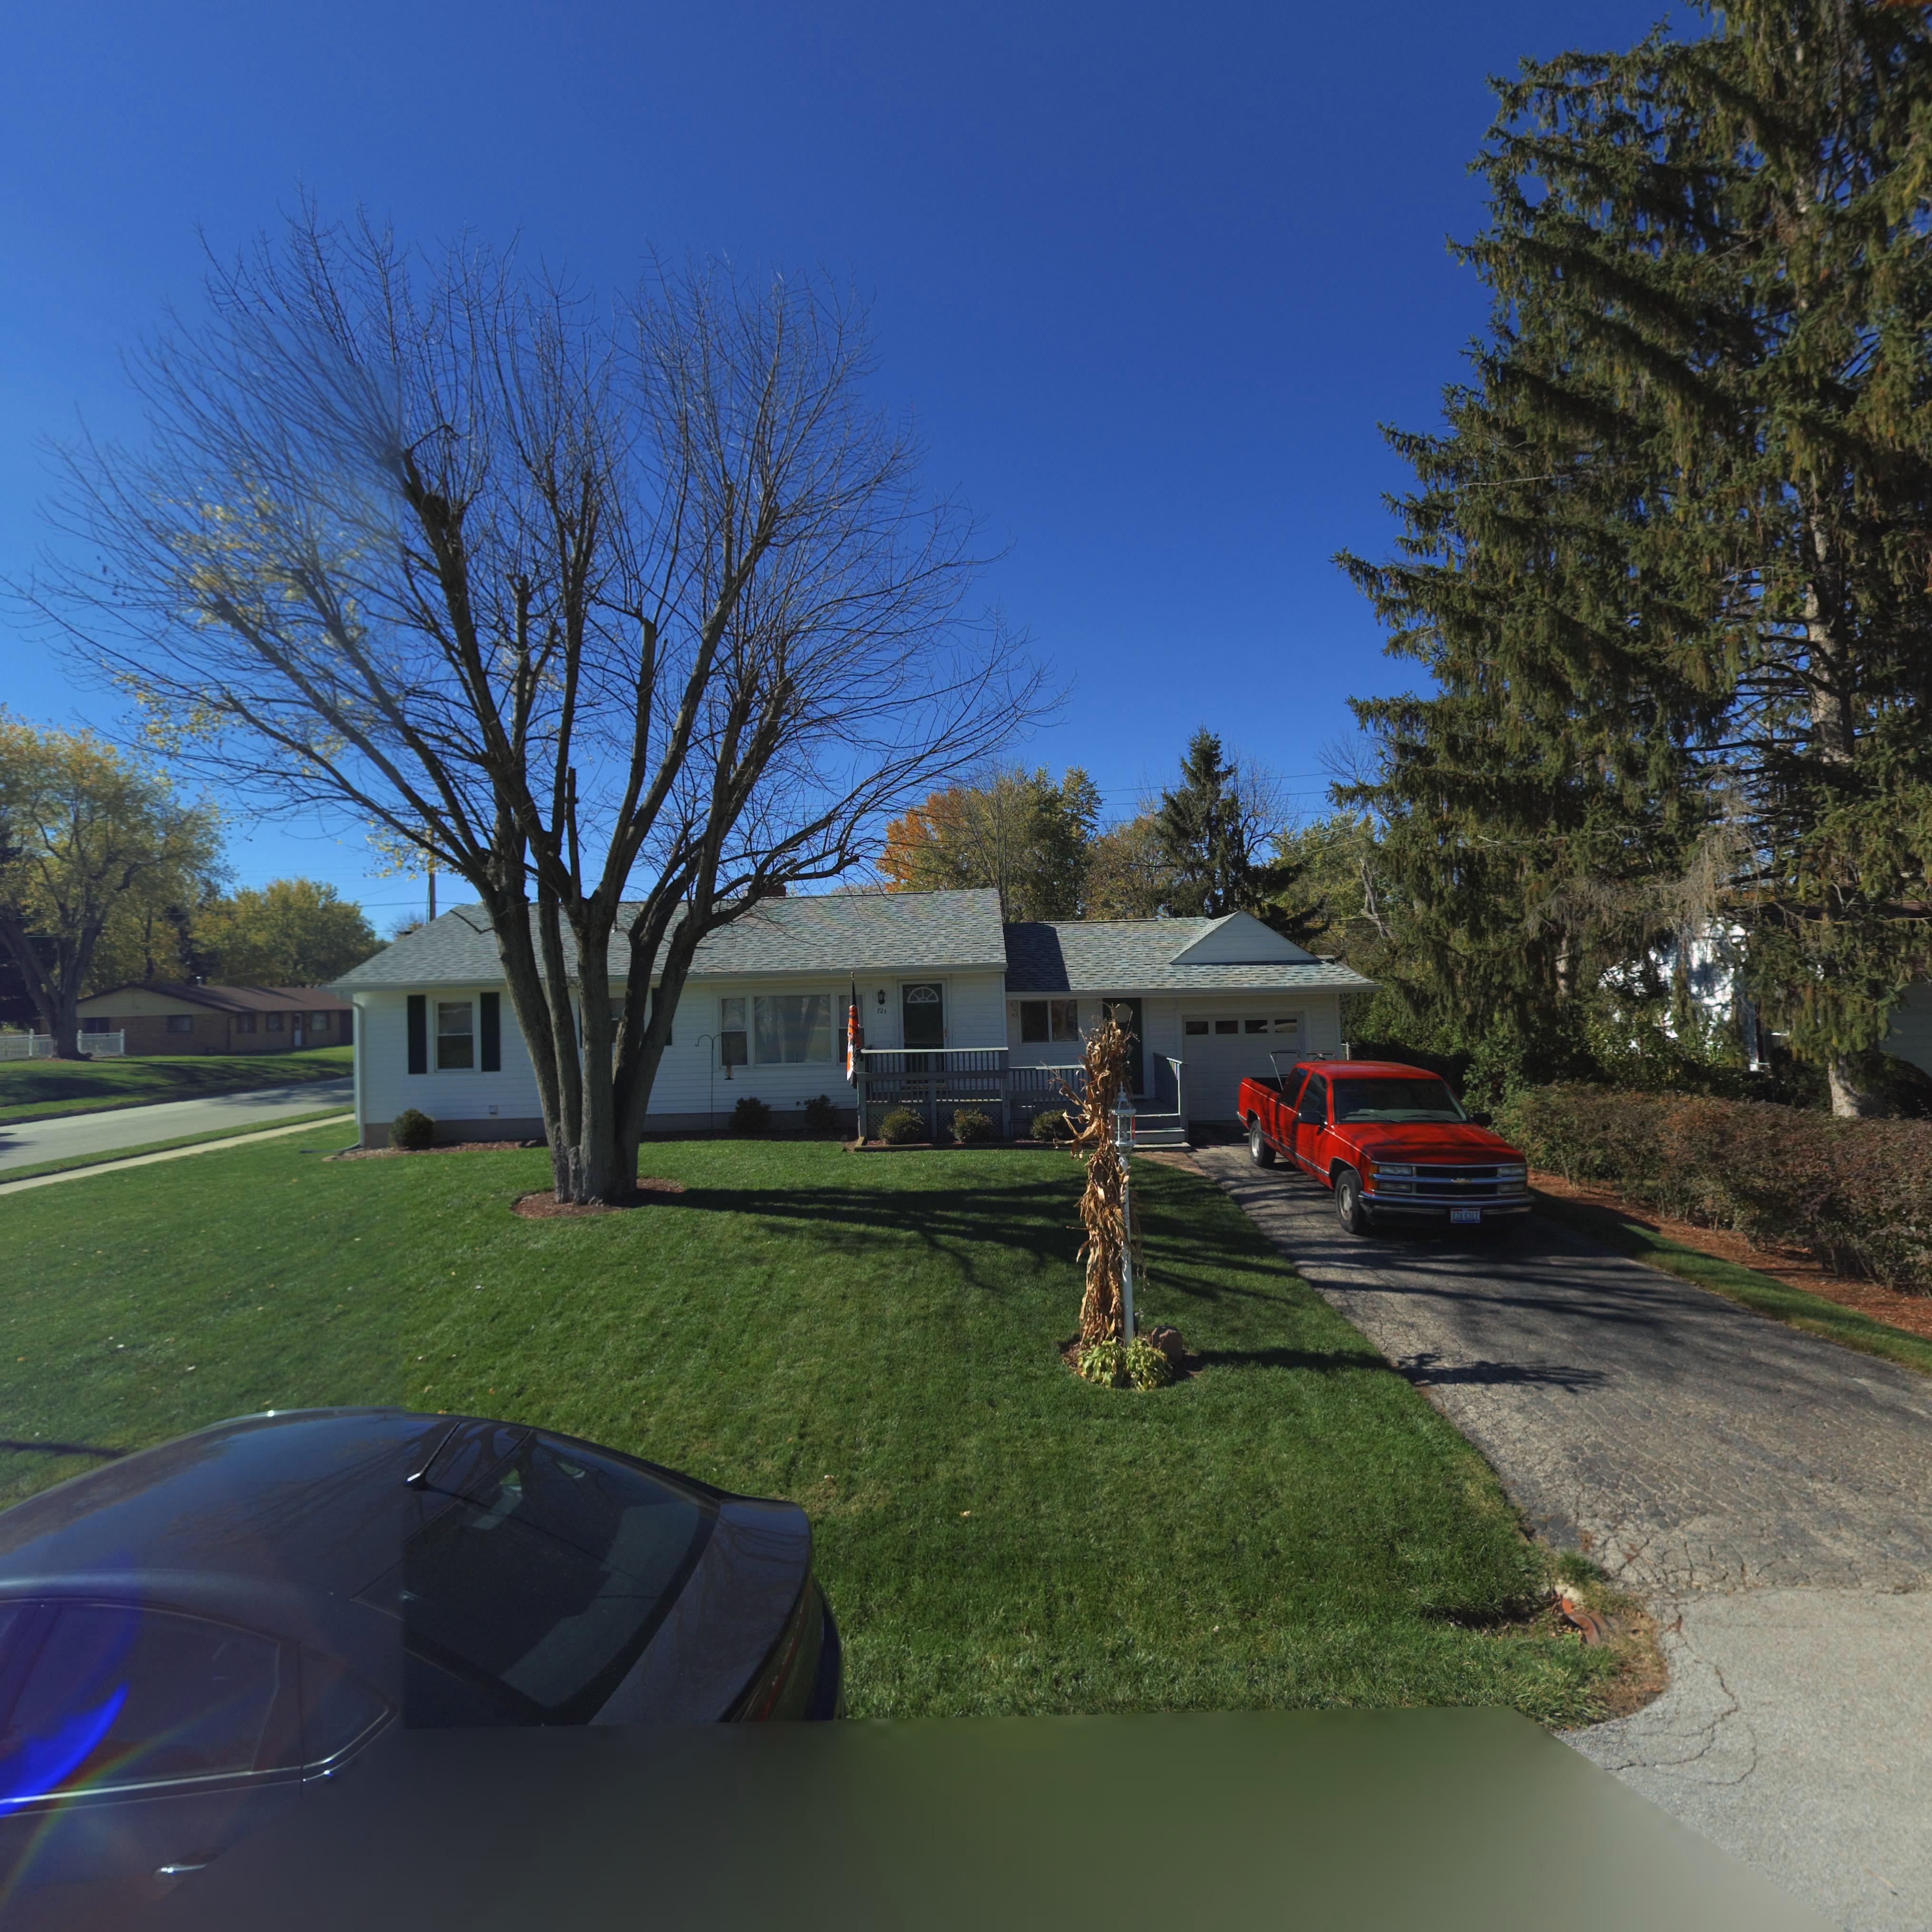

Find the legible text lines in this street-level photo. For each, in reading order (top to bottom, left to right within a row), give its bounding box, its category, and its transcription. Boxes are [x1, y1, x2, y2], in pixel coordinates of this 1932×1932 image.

[877, 1008, 886, 1014] StreetNumber: 721